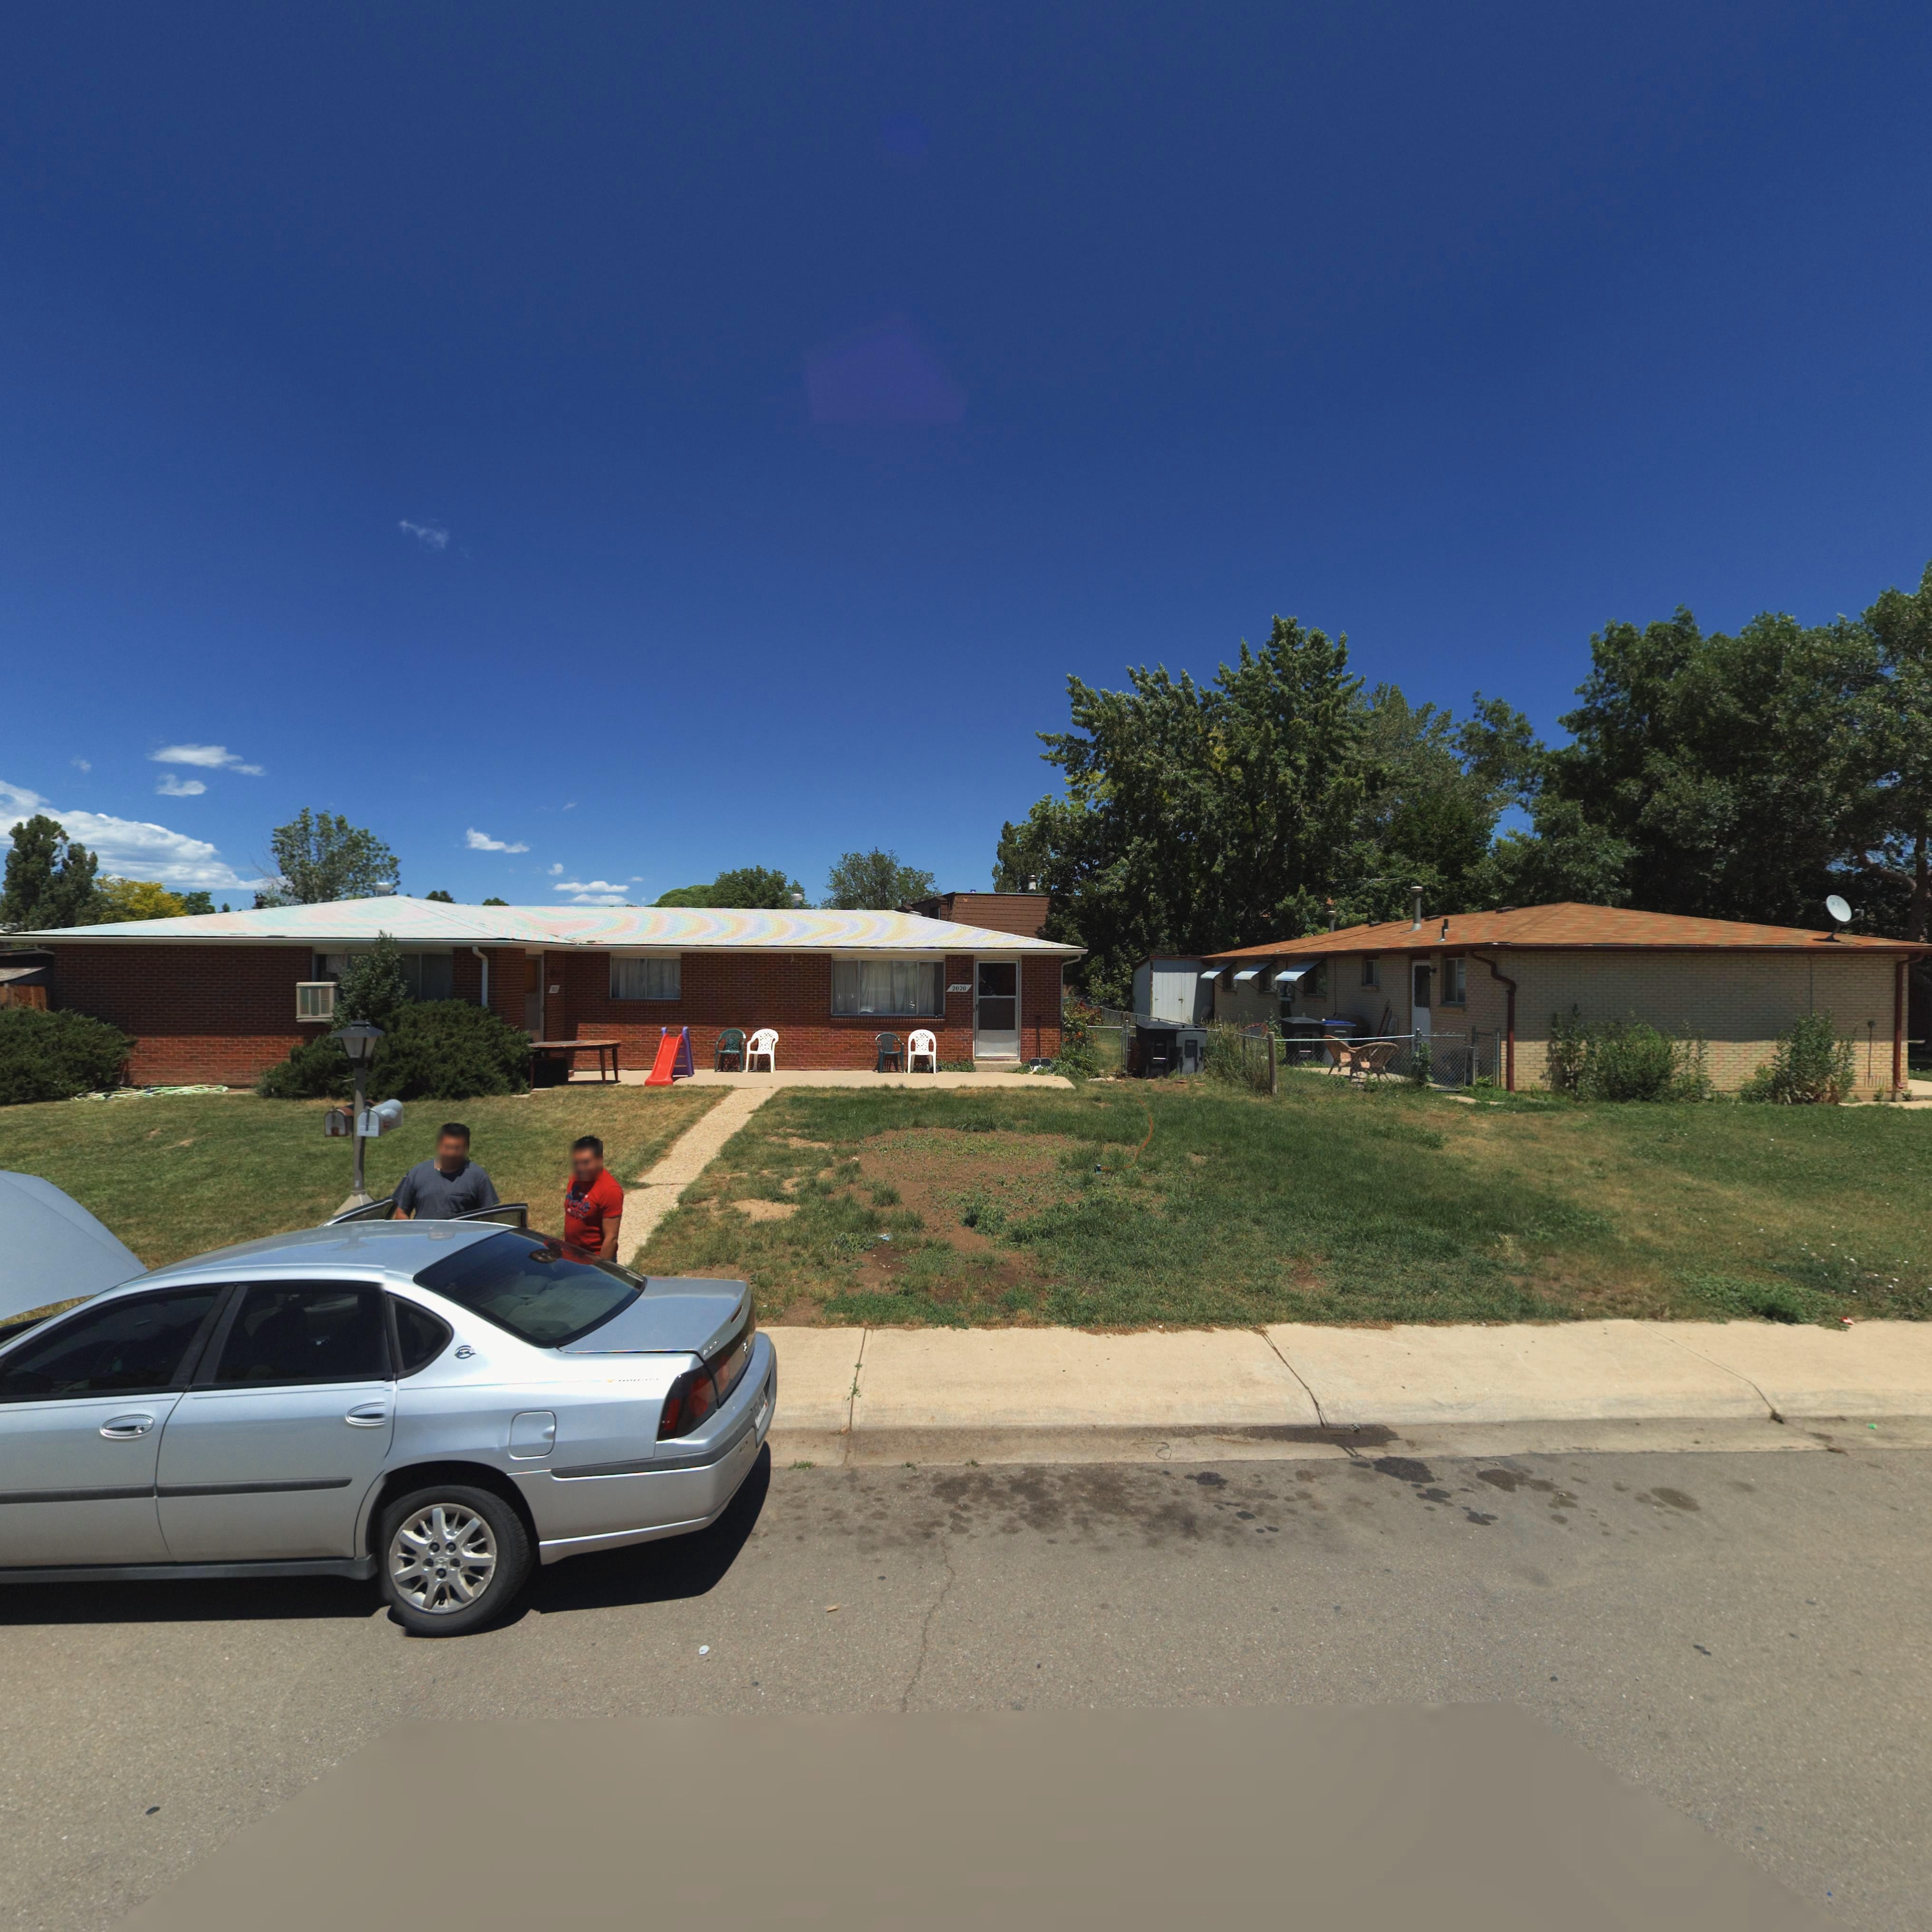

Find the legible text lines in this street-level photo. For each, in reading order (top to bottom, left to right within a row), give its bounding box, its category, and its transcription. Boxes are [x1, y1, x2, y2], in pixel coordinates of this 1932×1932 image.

[551, 986, 558, 992] StreetNumber: ***2
[952, 985, 966, 990] StreetNumber: 2020